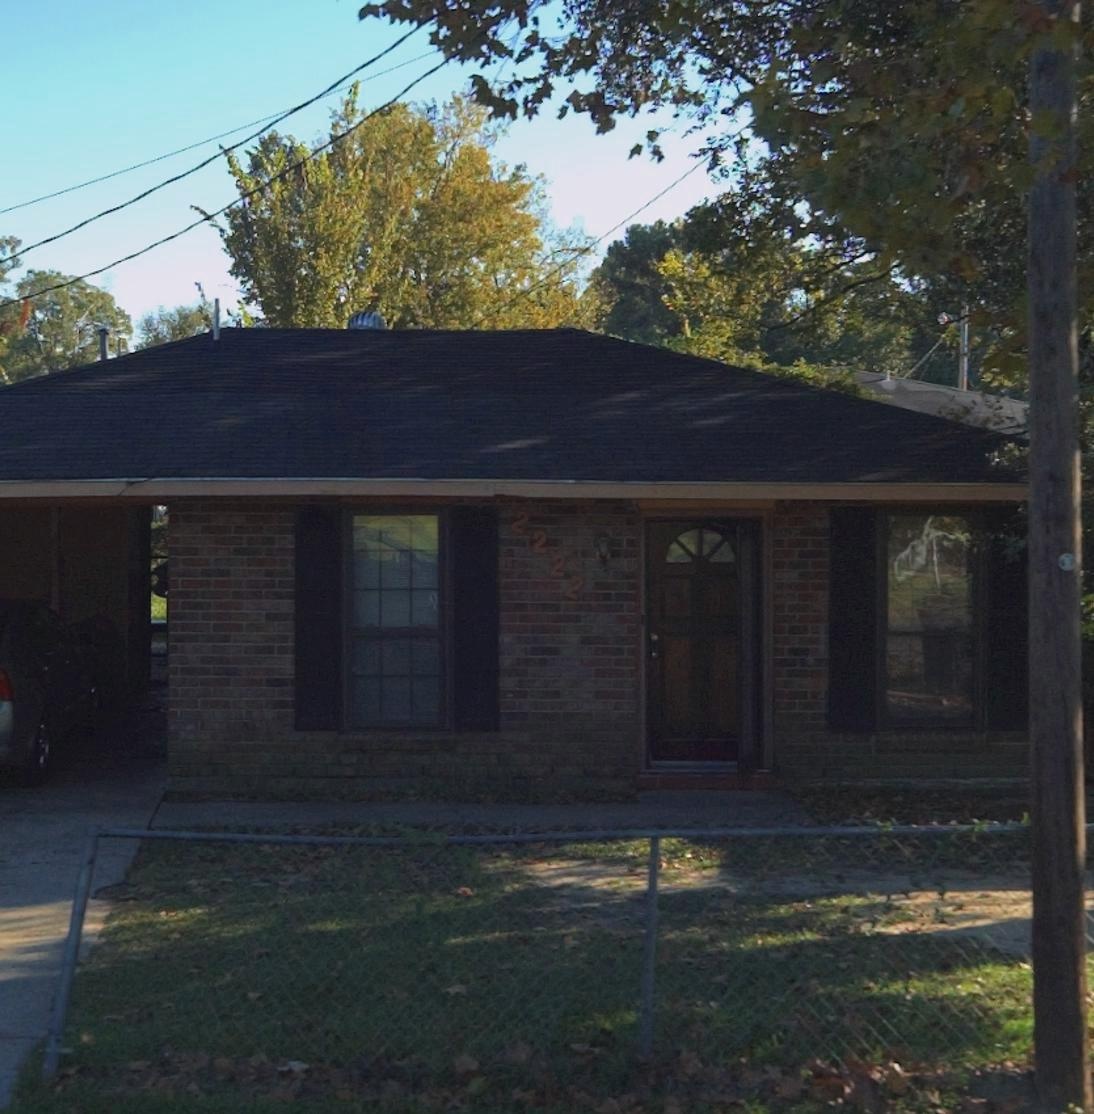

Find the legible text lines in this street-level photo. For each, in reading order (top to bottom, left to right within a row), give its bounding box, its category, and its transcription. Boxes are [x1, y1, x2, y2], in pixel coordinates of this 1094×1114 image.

[508, 509, 586, 601] StreetNumber: 2222